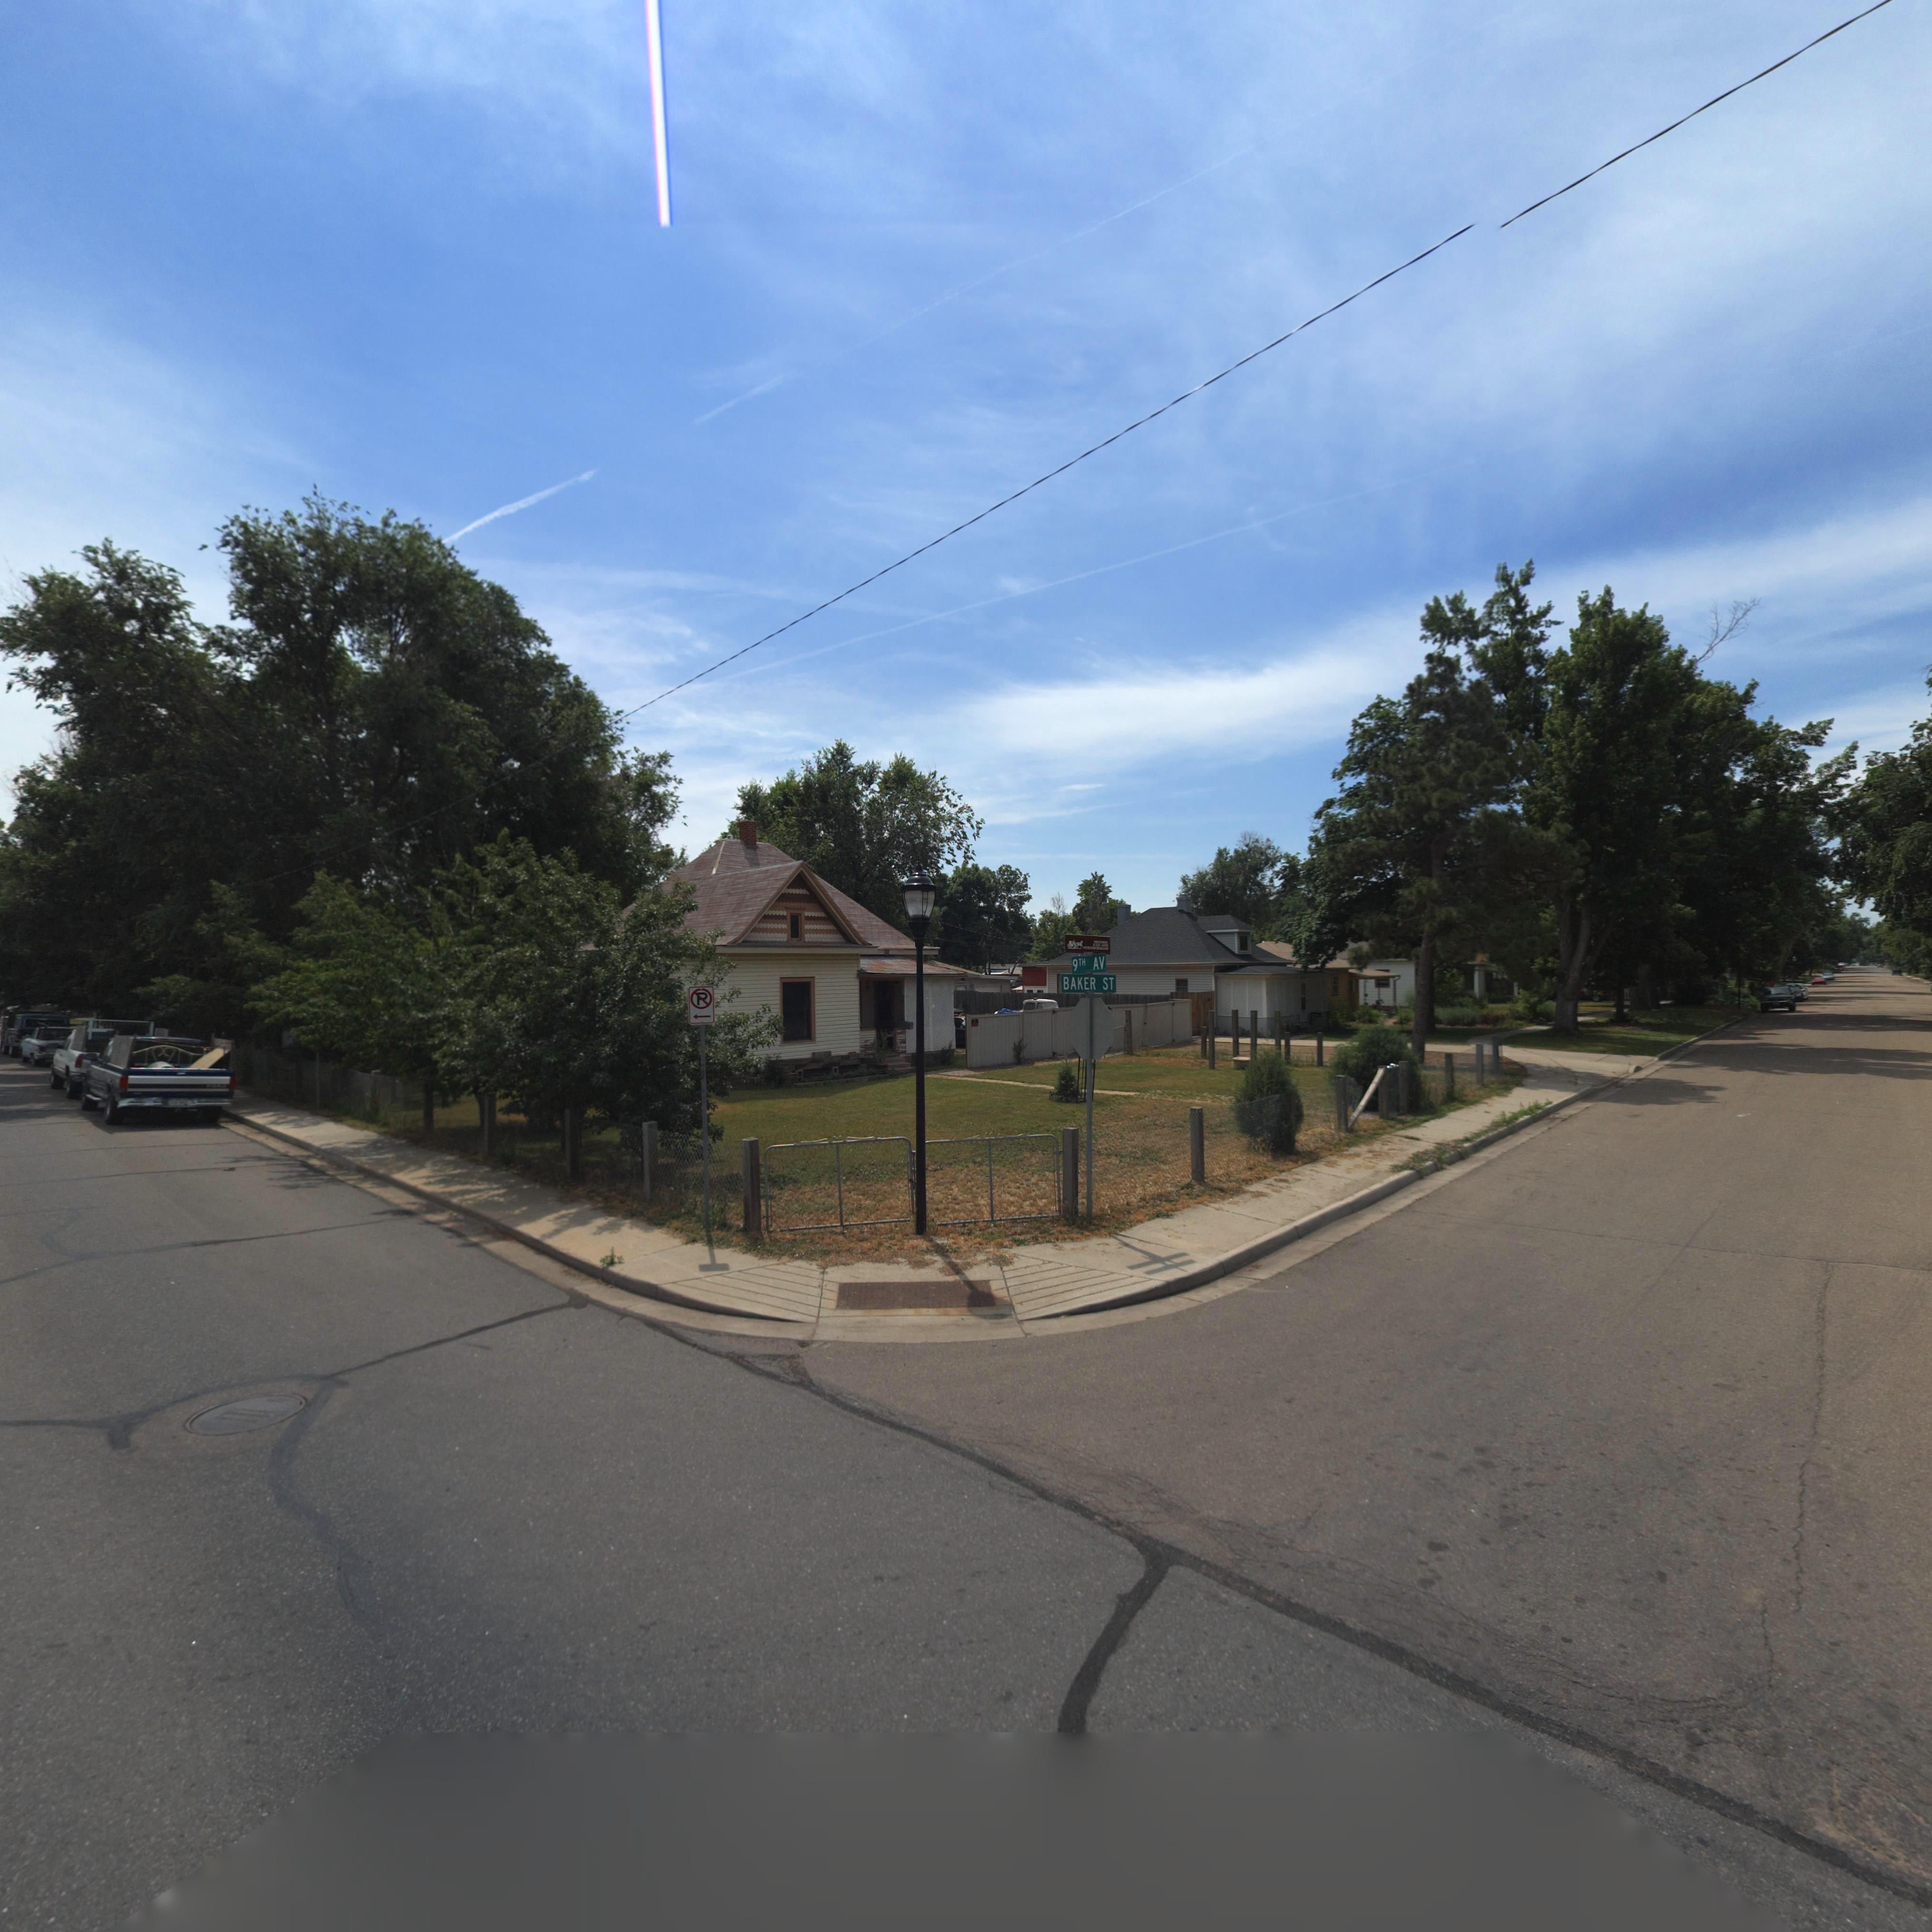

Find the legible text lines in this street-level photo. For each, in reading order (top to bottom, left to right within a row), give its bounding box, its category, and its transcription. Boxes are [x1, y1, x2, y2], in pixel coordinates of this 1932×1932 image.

[1072, 955, 1106, 972] StreetName: 9TH AV
[1062, 976, 1115, 991] StreetName: BAKER ST